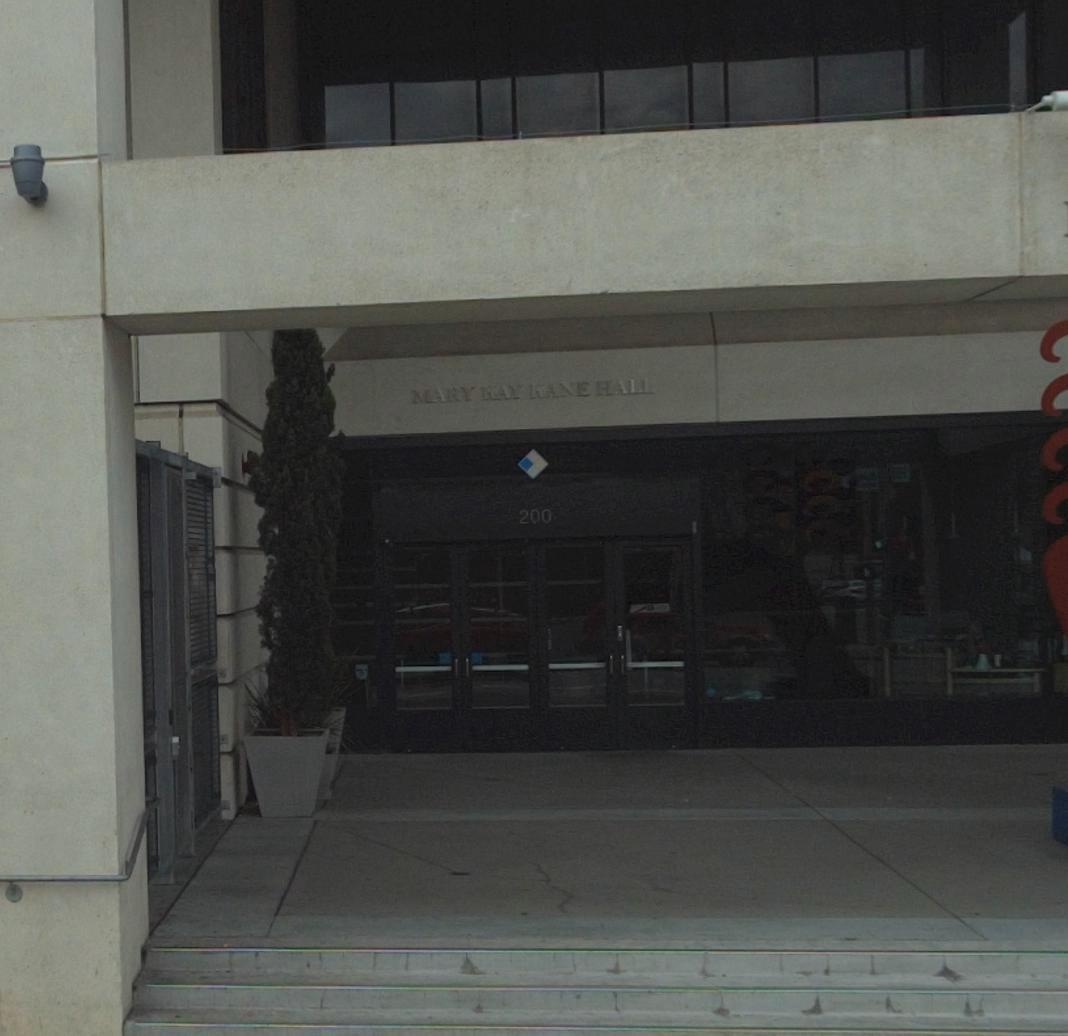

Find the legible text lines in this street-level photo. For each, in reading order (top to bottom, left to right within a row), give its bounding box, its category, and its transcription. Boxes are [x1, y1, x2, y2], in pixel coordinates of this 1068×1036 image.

[409, 376, 657, 406] BusinessName: MARY KAY KANE HALL
[518, 507, 553, 526] StreetNumber: 200